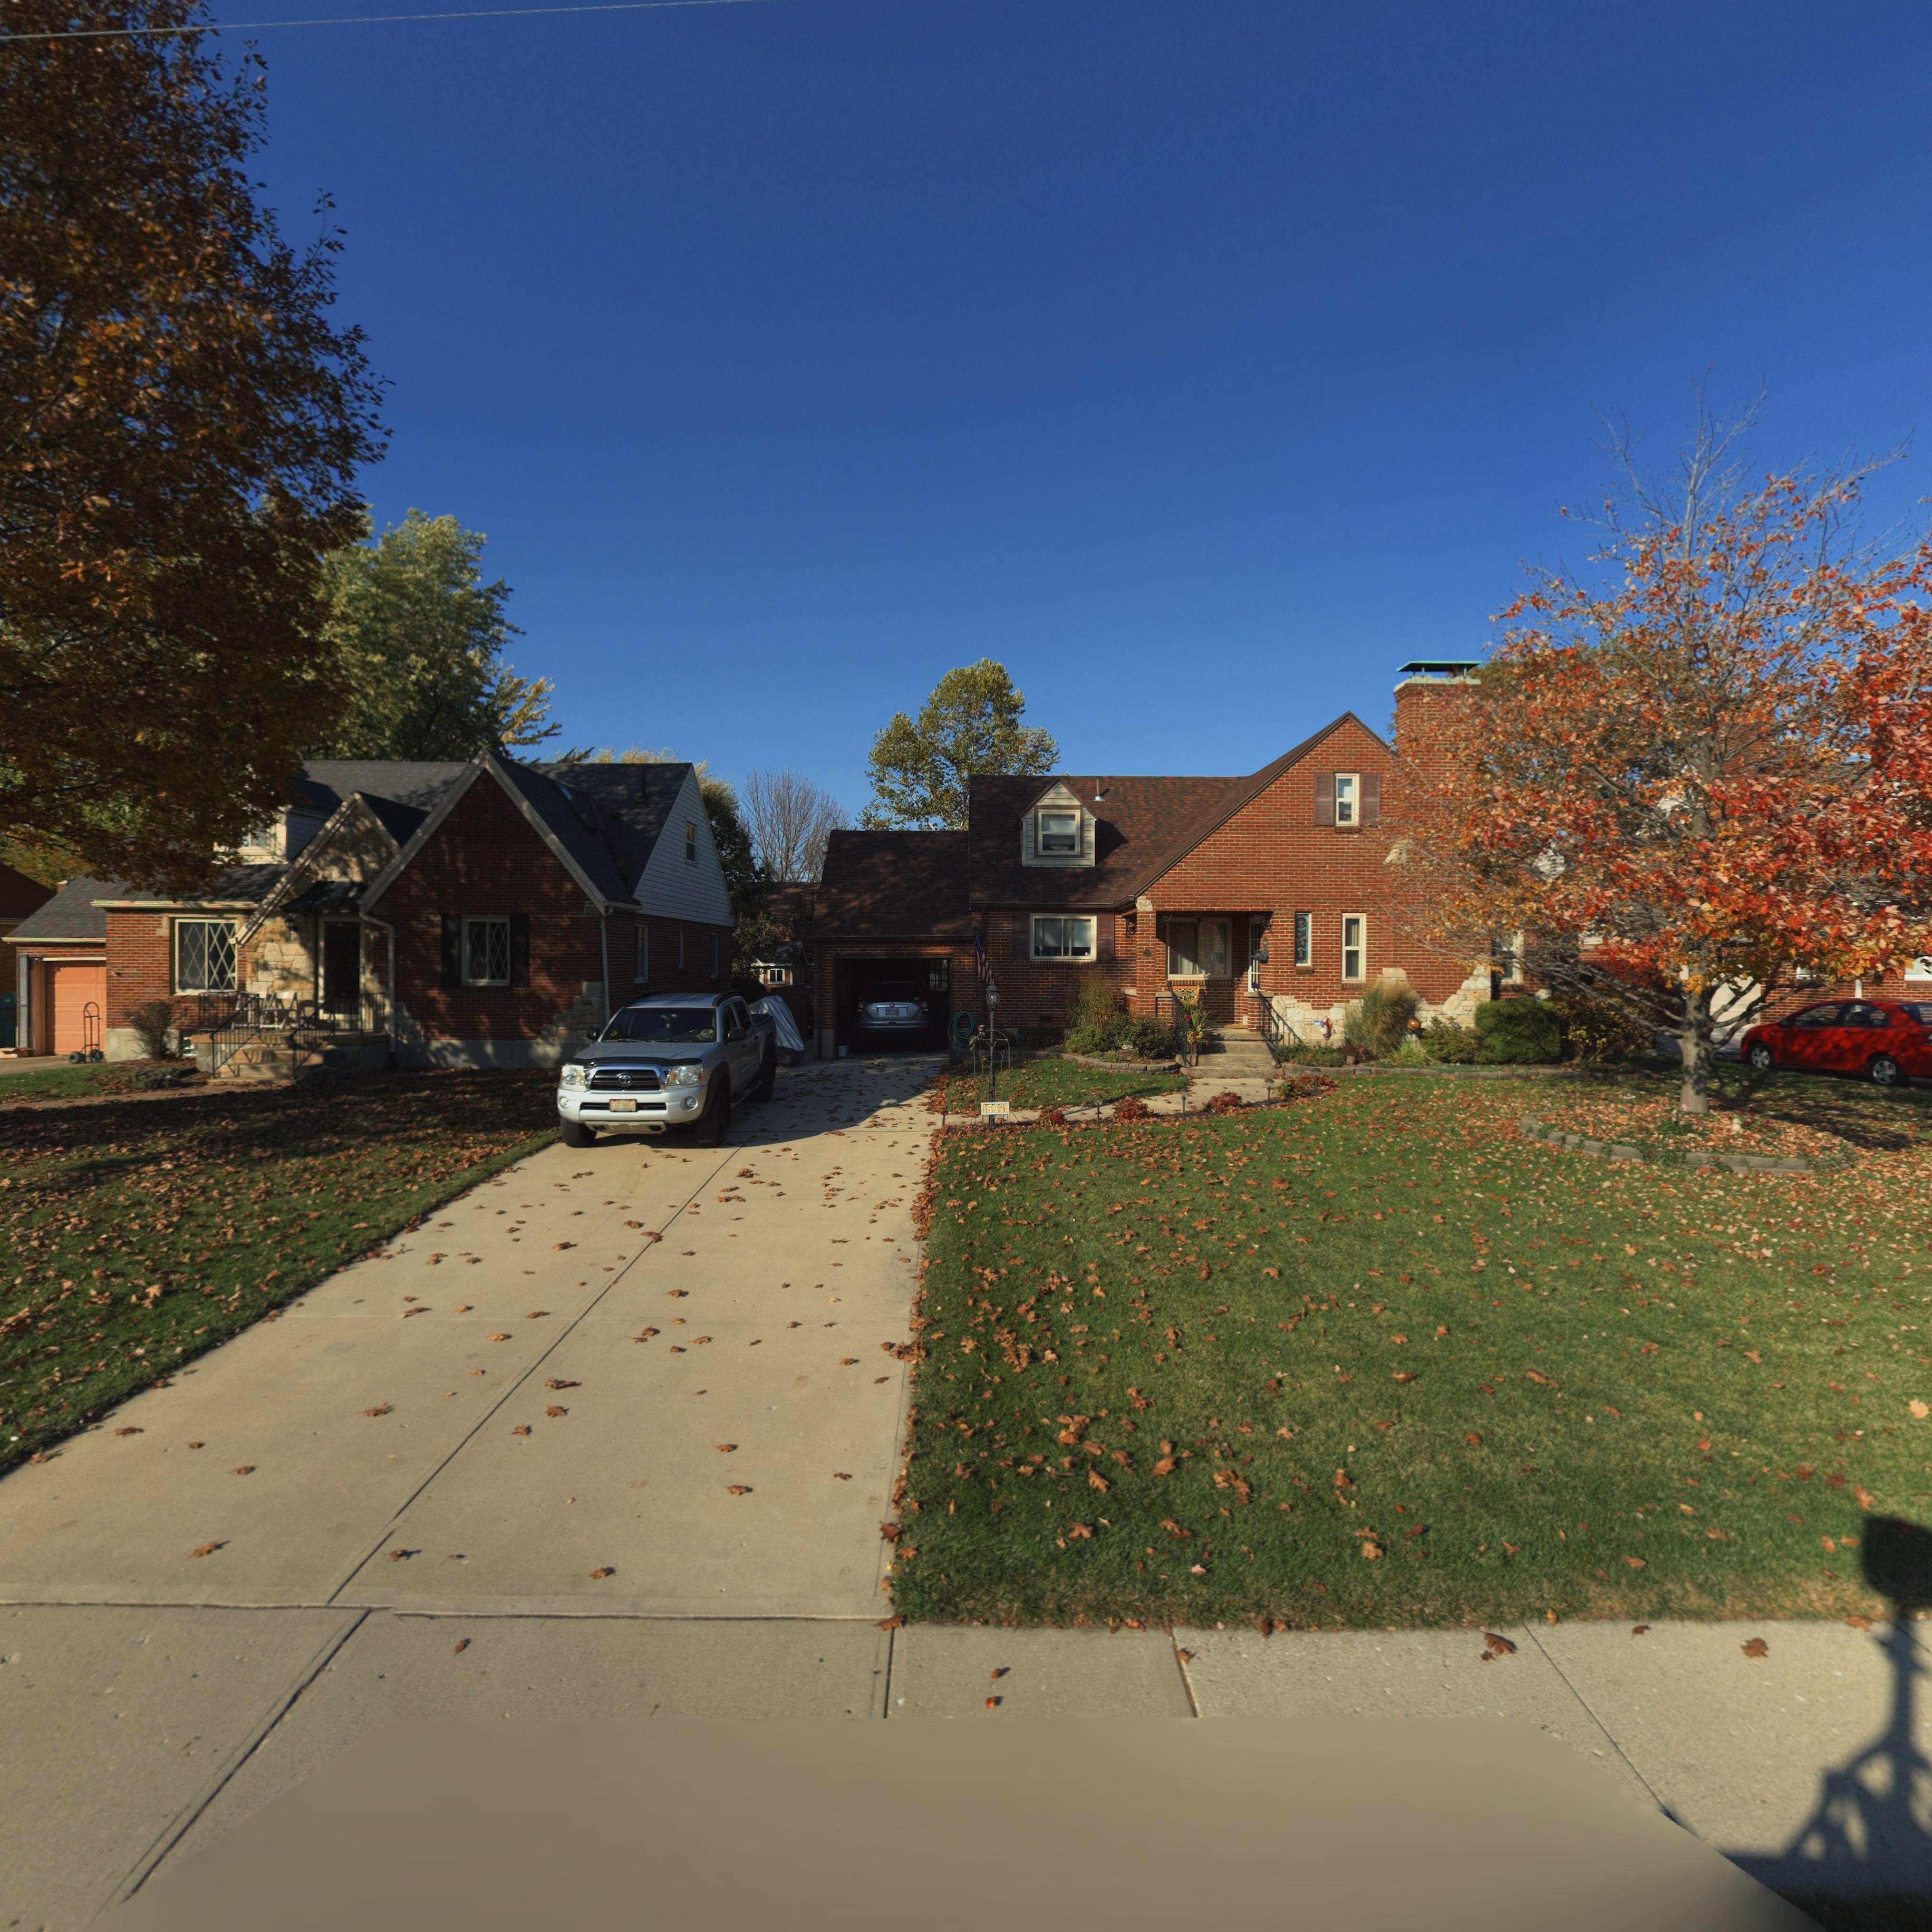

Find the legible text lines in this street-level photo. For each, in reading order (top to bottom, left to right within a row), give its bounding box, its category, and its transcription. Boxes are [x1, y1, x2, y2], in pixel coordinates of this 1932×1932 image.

[986, 1104, 1005, 1112] StreetNumber: 225